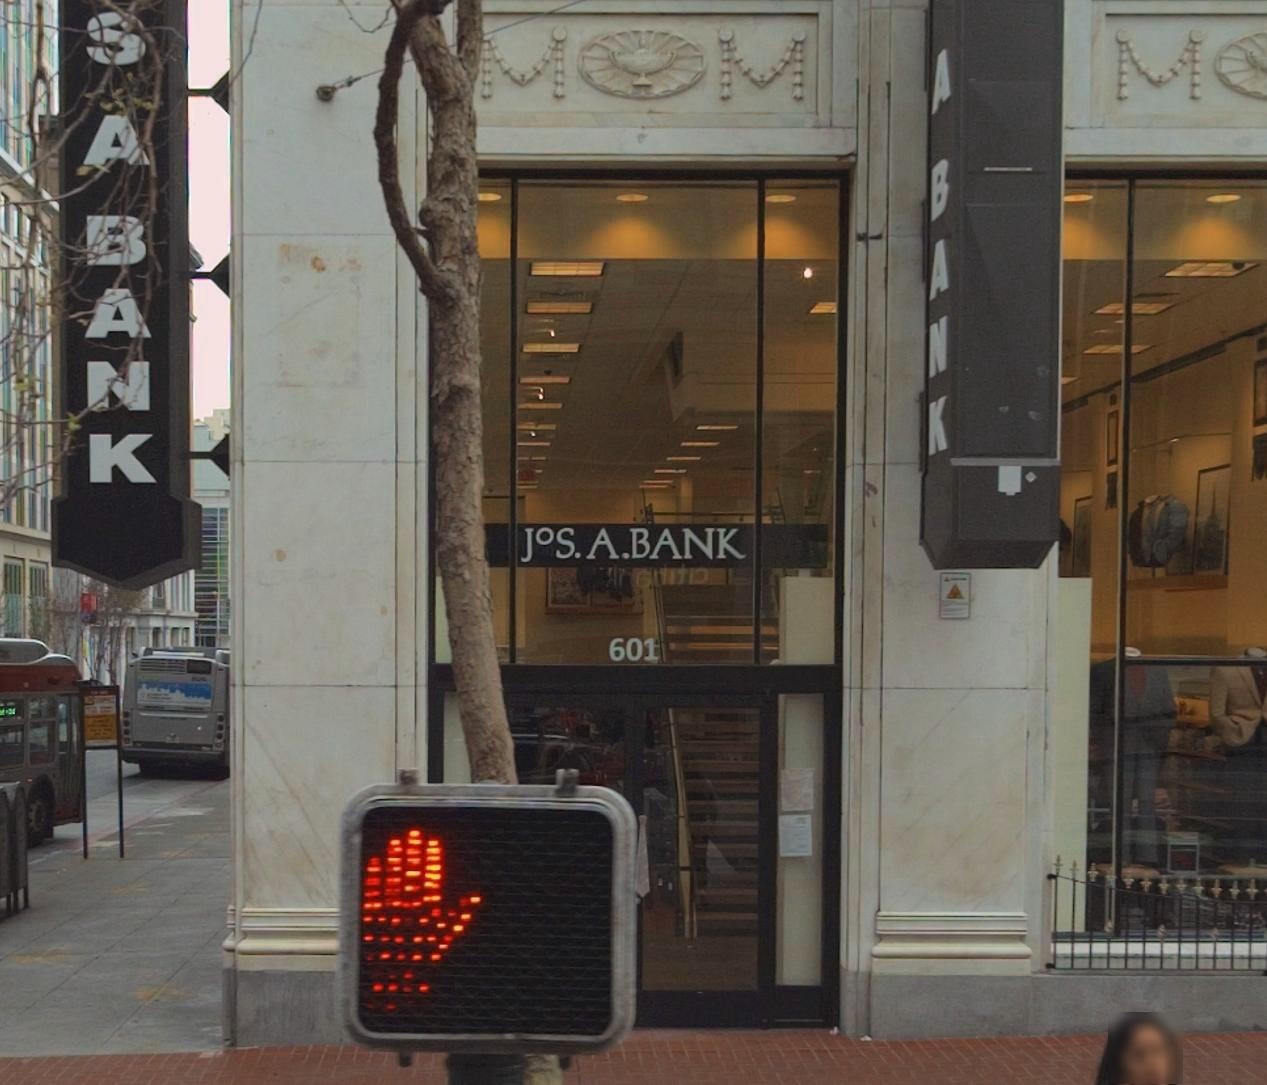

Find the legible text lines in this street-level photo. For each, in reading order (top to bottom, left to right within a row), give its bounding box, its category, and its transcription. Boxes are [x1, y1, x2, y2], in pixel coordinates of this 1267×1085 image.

[469, 20, 814, 108] None: M*M
[1110, 23, 1209, 107] None: M
[923, 37, 961, 463] BusinessName: A BANK
[79, 103, 164, 492] BusinessName: A *ANK
[518, 523, 751, 565] BusinessName: JoS.A.BANK
[605, 635, 661, 665] StreetNumber: 601